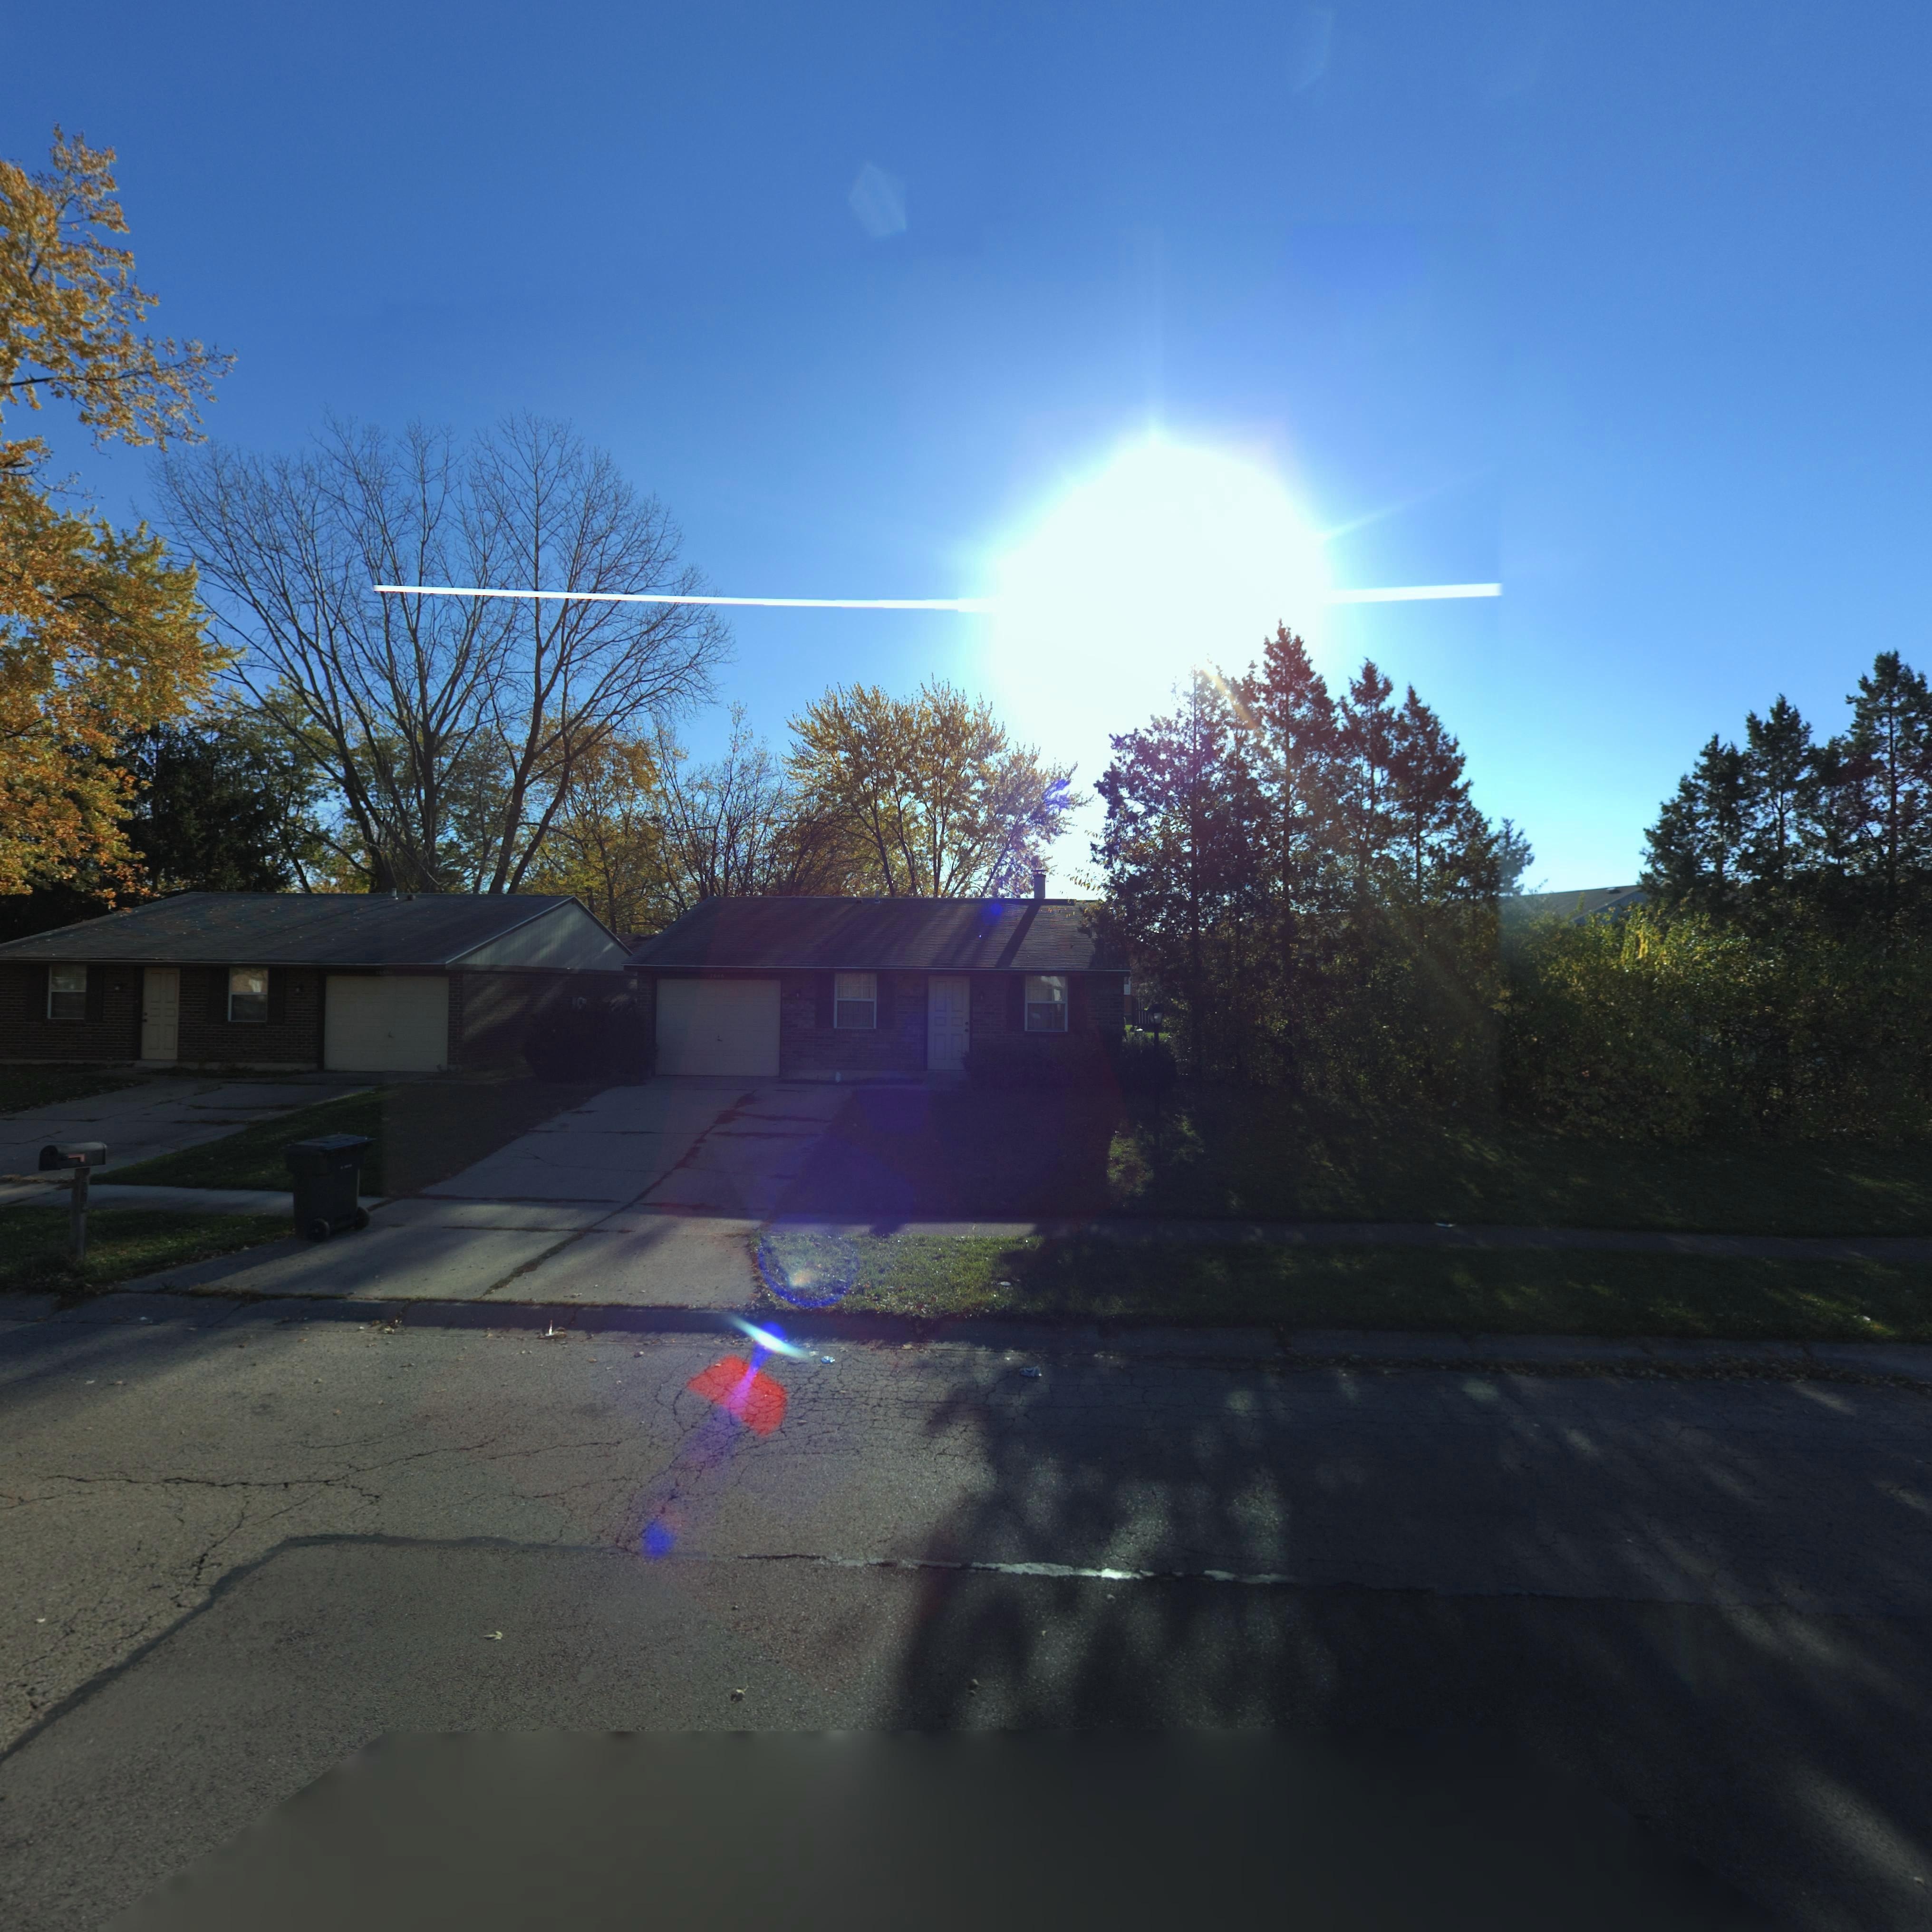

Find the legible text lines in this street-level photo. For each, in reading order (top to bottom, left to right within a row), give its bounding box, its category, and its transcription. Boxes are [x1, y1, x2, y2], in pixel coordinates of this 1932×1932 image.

[708, 973, 726, 980] StreetNumber: 76*6